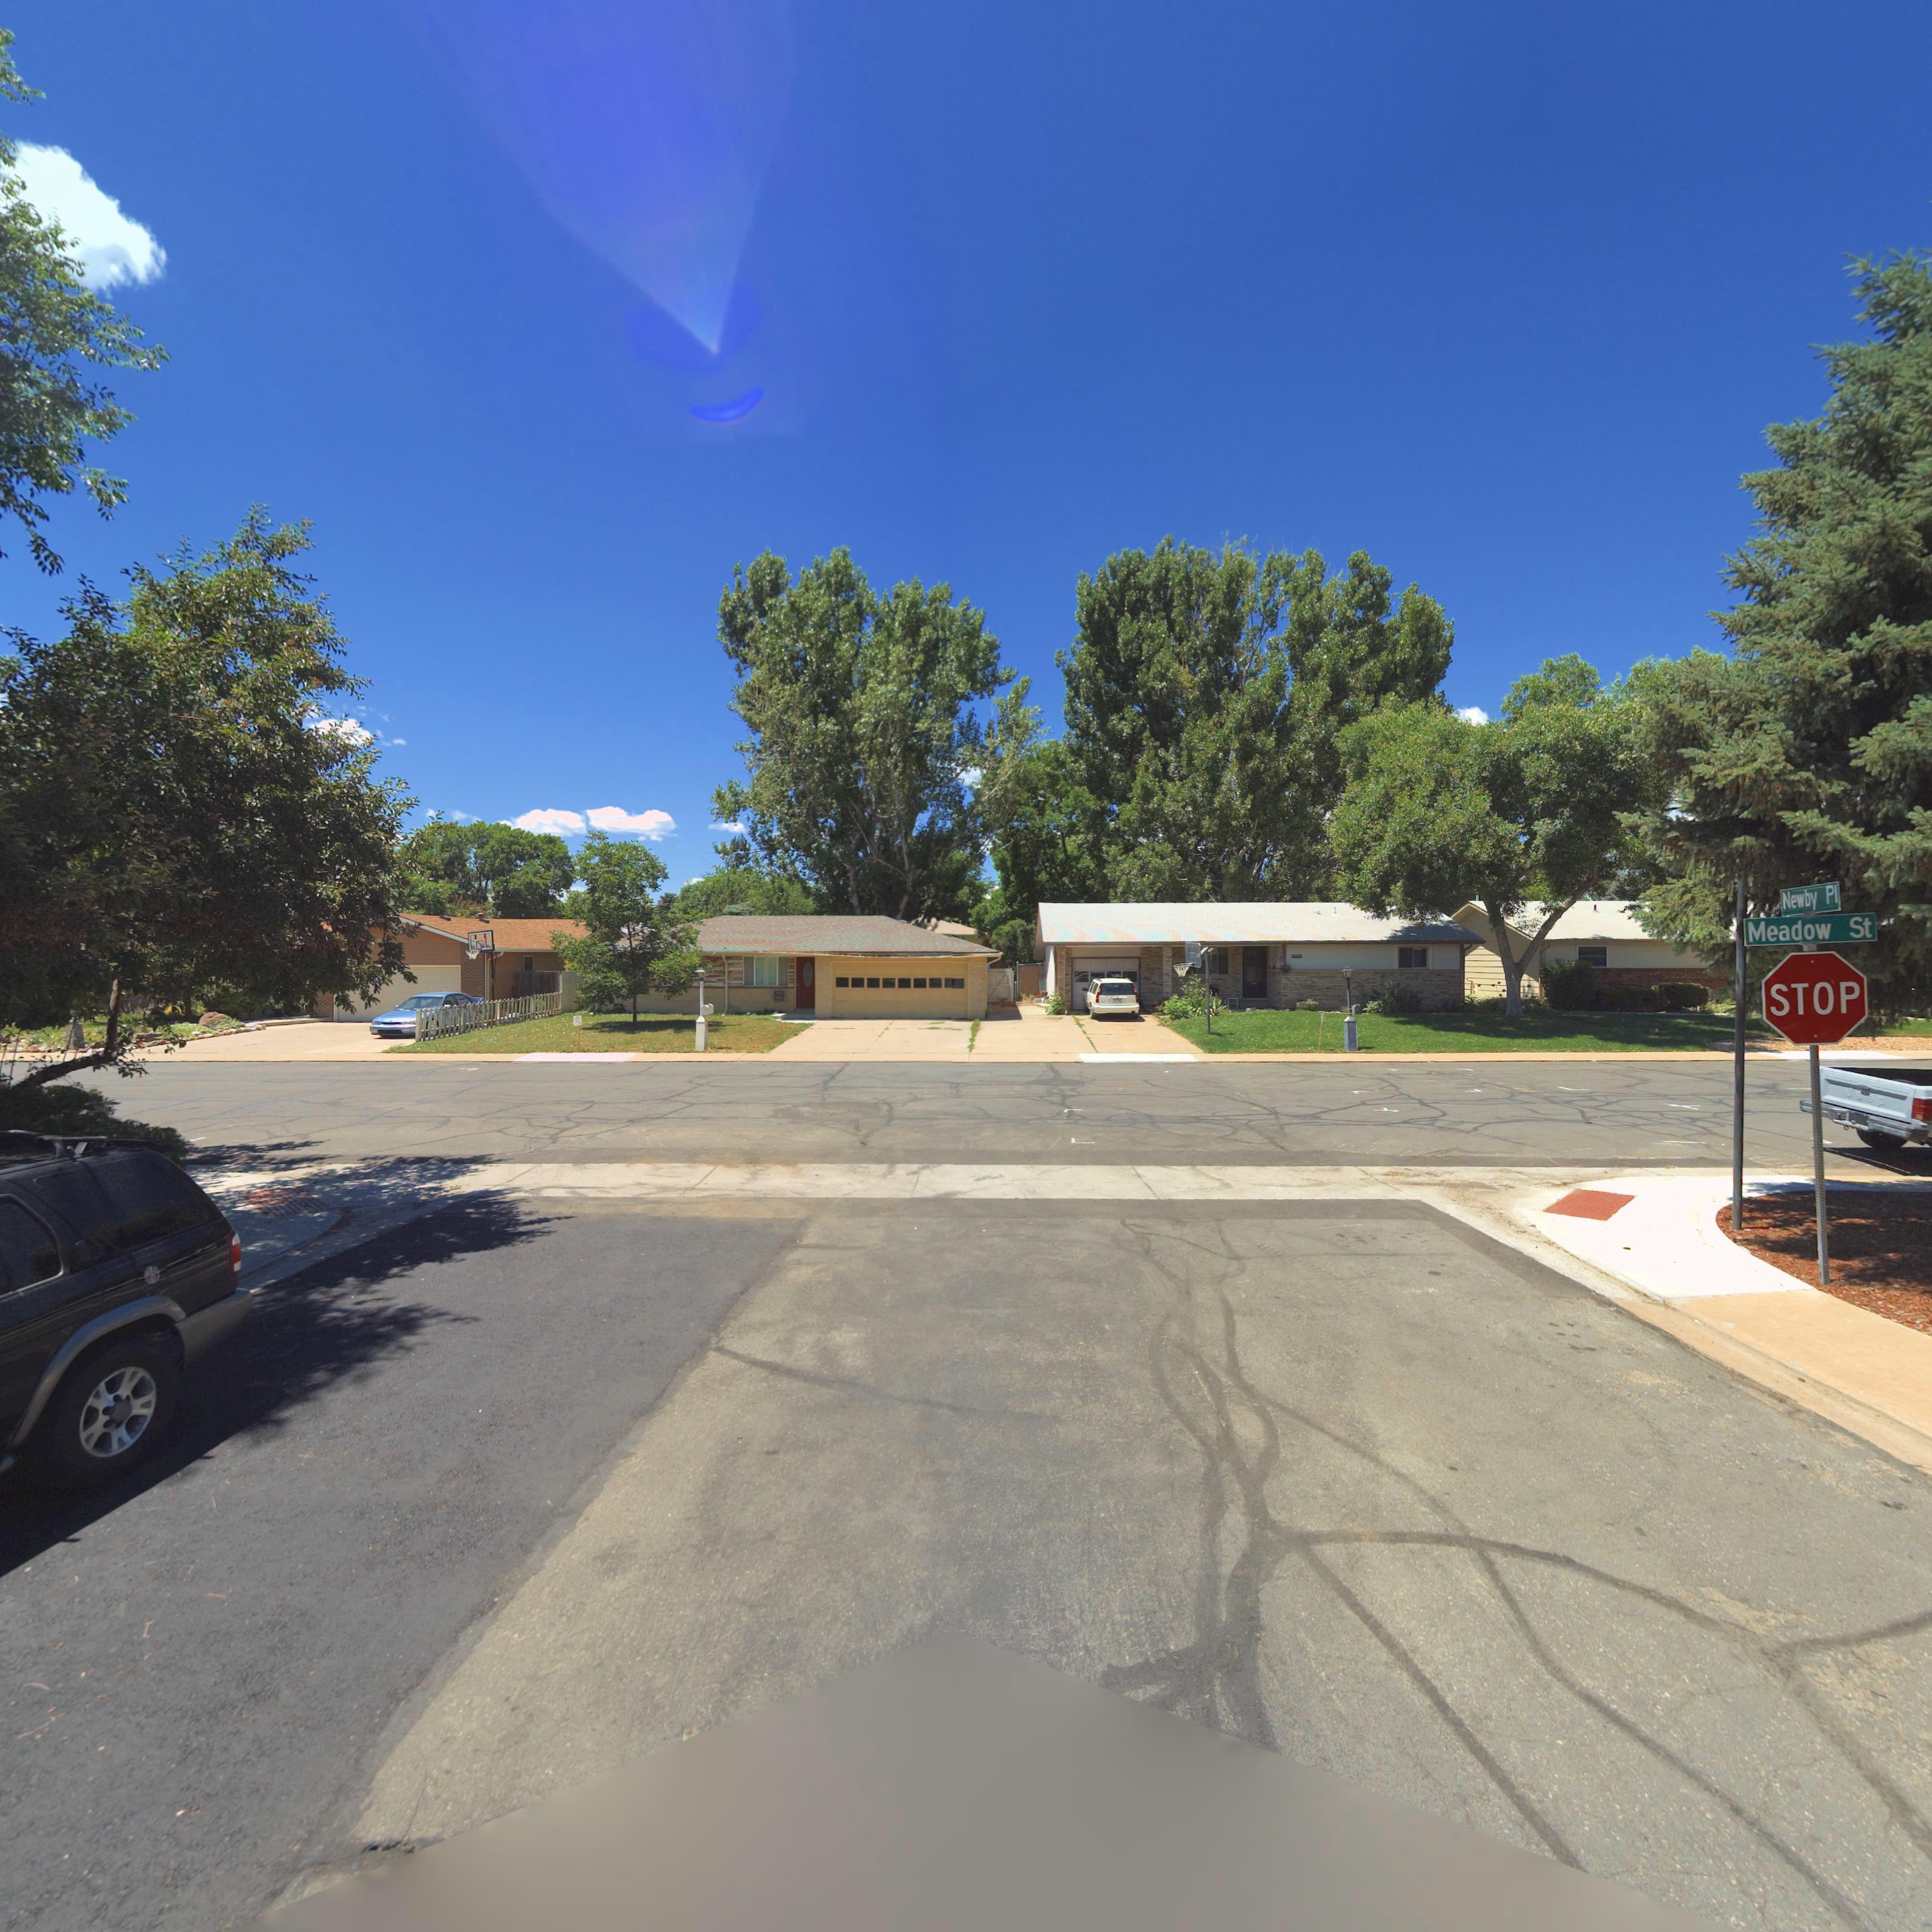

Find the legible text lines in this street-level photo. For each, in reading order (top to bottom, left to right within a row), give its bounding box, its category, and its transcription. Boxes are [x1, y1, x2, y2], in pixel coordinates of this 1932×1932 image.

[1782, 884, 1838, 911] StreetName: Newby Pl
[1748, 917, 1873, 943] StreetName: Meadow St
[1769, 981, 1860, 1016] BusinessName: STOP